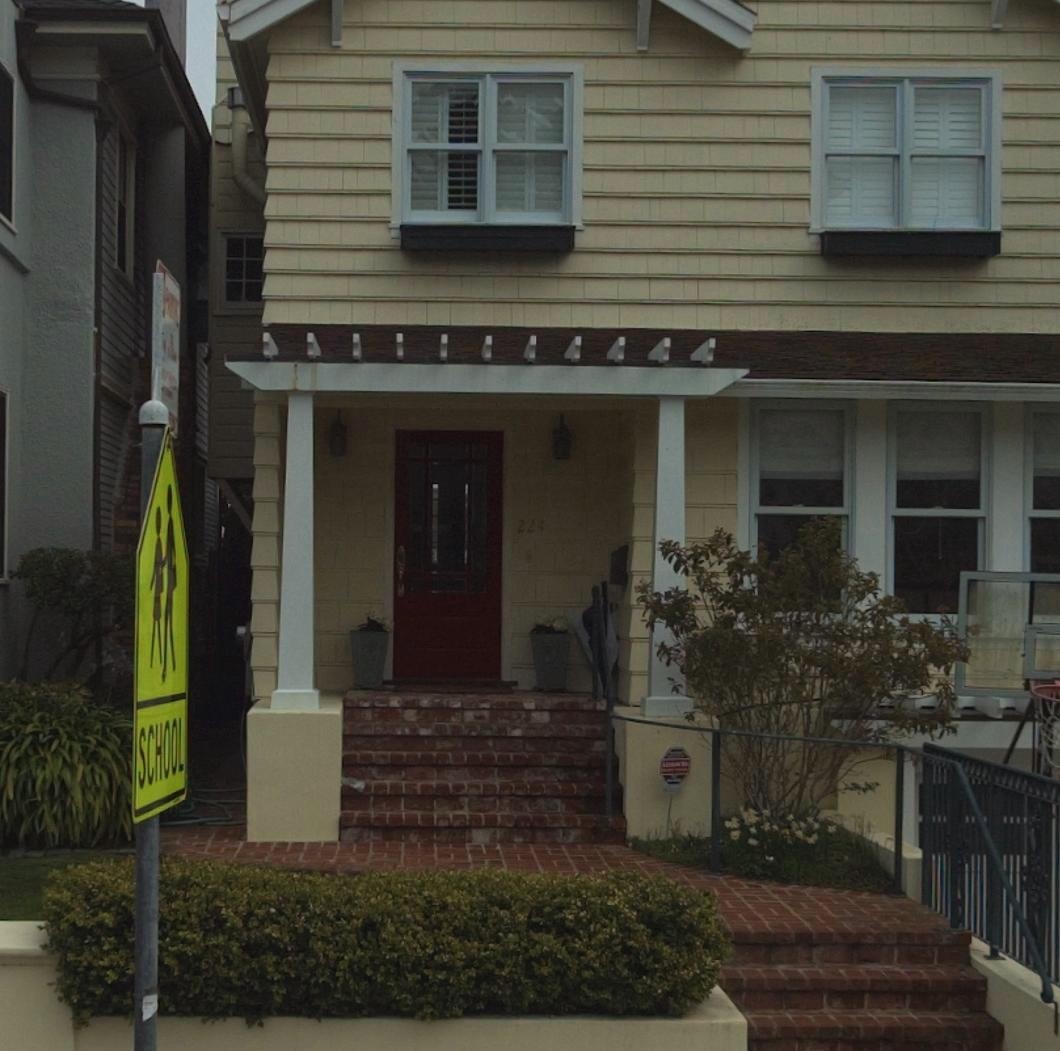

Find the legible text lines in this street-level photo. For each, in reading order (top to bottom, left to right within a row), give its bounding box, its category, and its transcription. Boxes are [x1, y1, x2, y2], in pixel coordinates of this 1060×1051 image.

[516, 517, 547, 535] StreetNumber: 224
[136, 715, 185, 792] None: SCHOOL